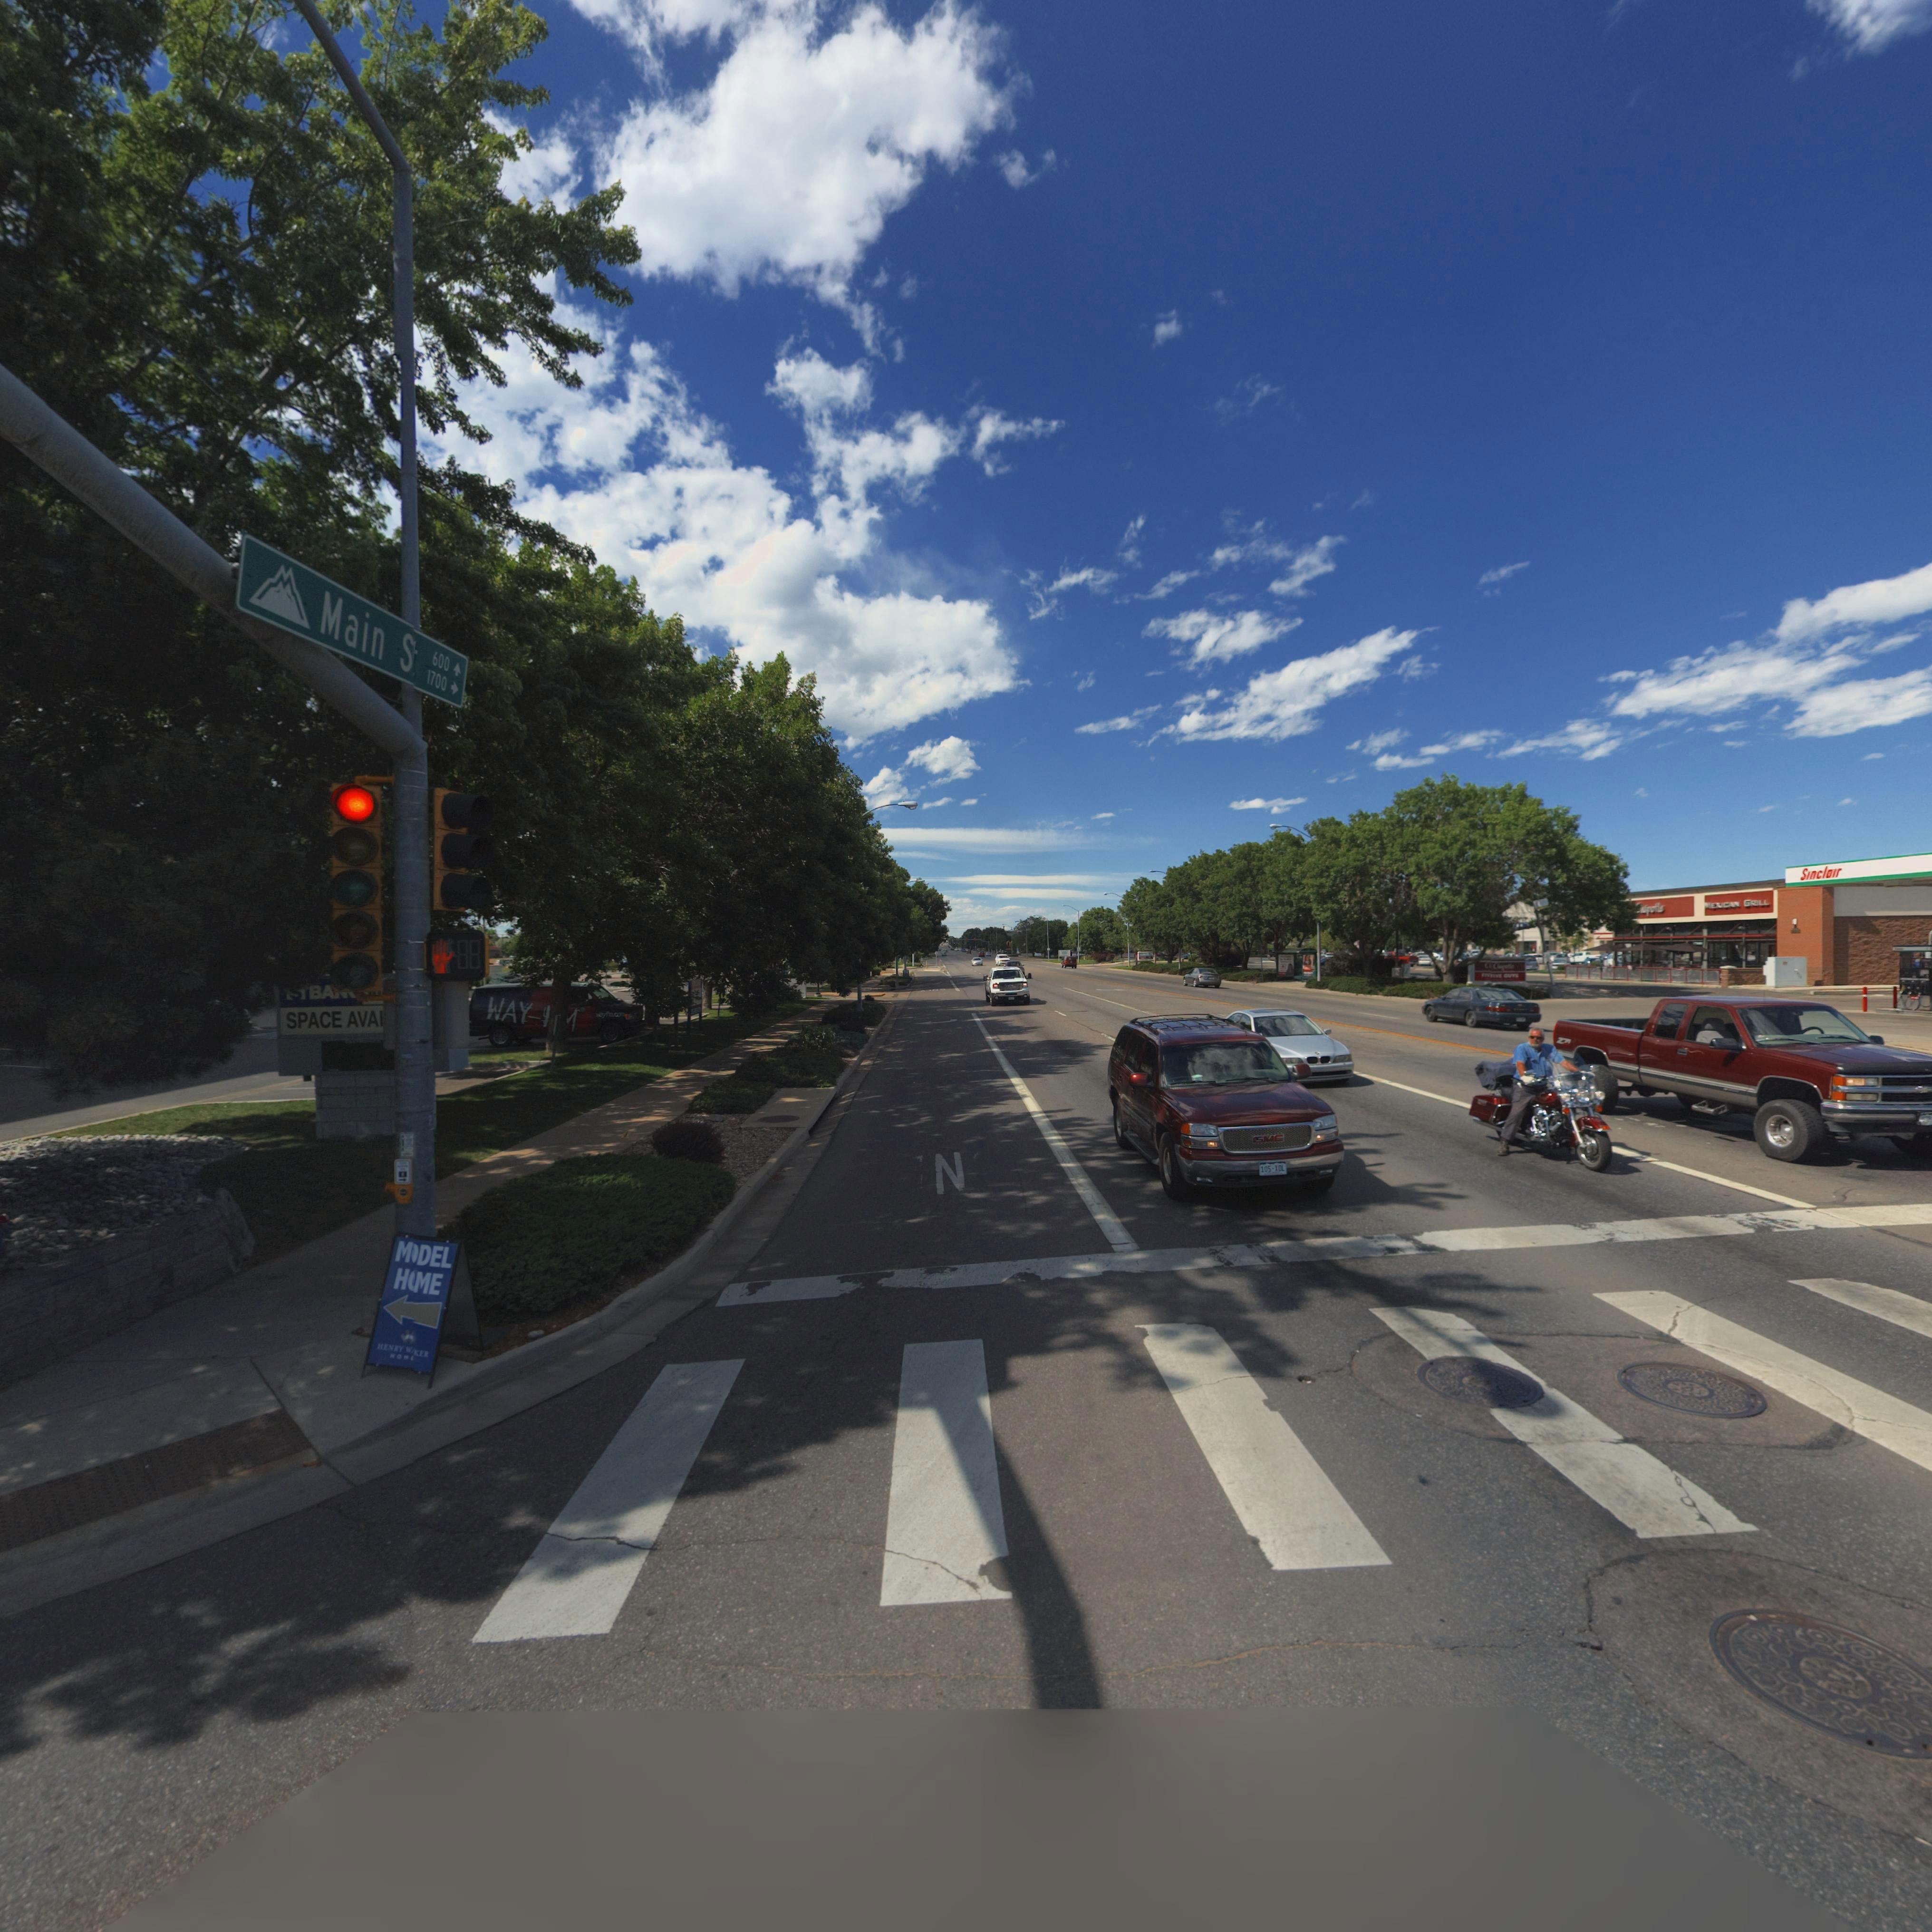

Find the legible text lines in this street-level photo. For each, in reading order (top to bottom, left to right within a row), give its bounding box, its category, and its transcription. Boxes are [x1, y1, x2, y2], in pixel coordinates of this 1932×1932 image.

[318, 588, 421, 679] StreetName: Main S*
[431, 650, 452, 673] StreetNumberRange: 600
[425, 668, 460, 698] StreetNumberRange: 1700 ->
[1800, 865, 1843, 880] BusinessName: Sinclair
[1631, 901, 1665, 917] BusinessName: ***potle
[1704, 898, 1769, 908] BusinessName: *EXICAN GRILL
[1483, 962, 1515, 971] BusinessName: **Ch*po**e
[1480, 973, 1519, 978] BusinessName: ***FIVE GUYS
[281, 982, 360, 1001] BusinessName: ***BA**